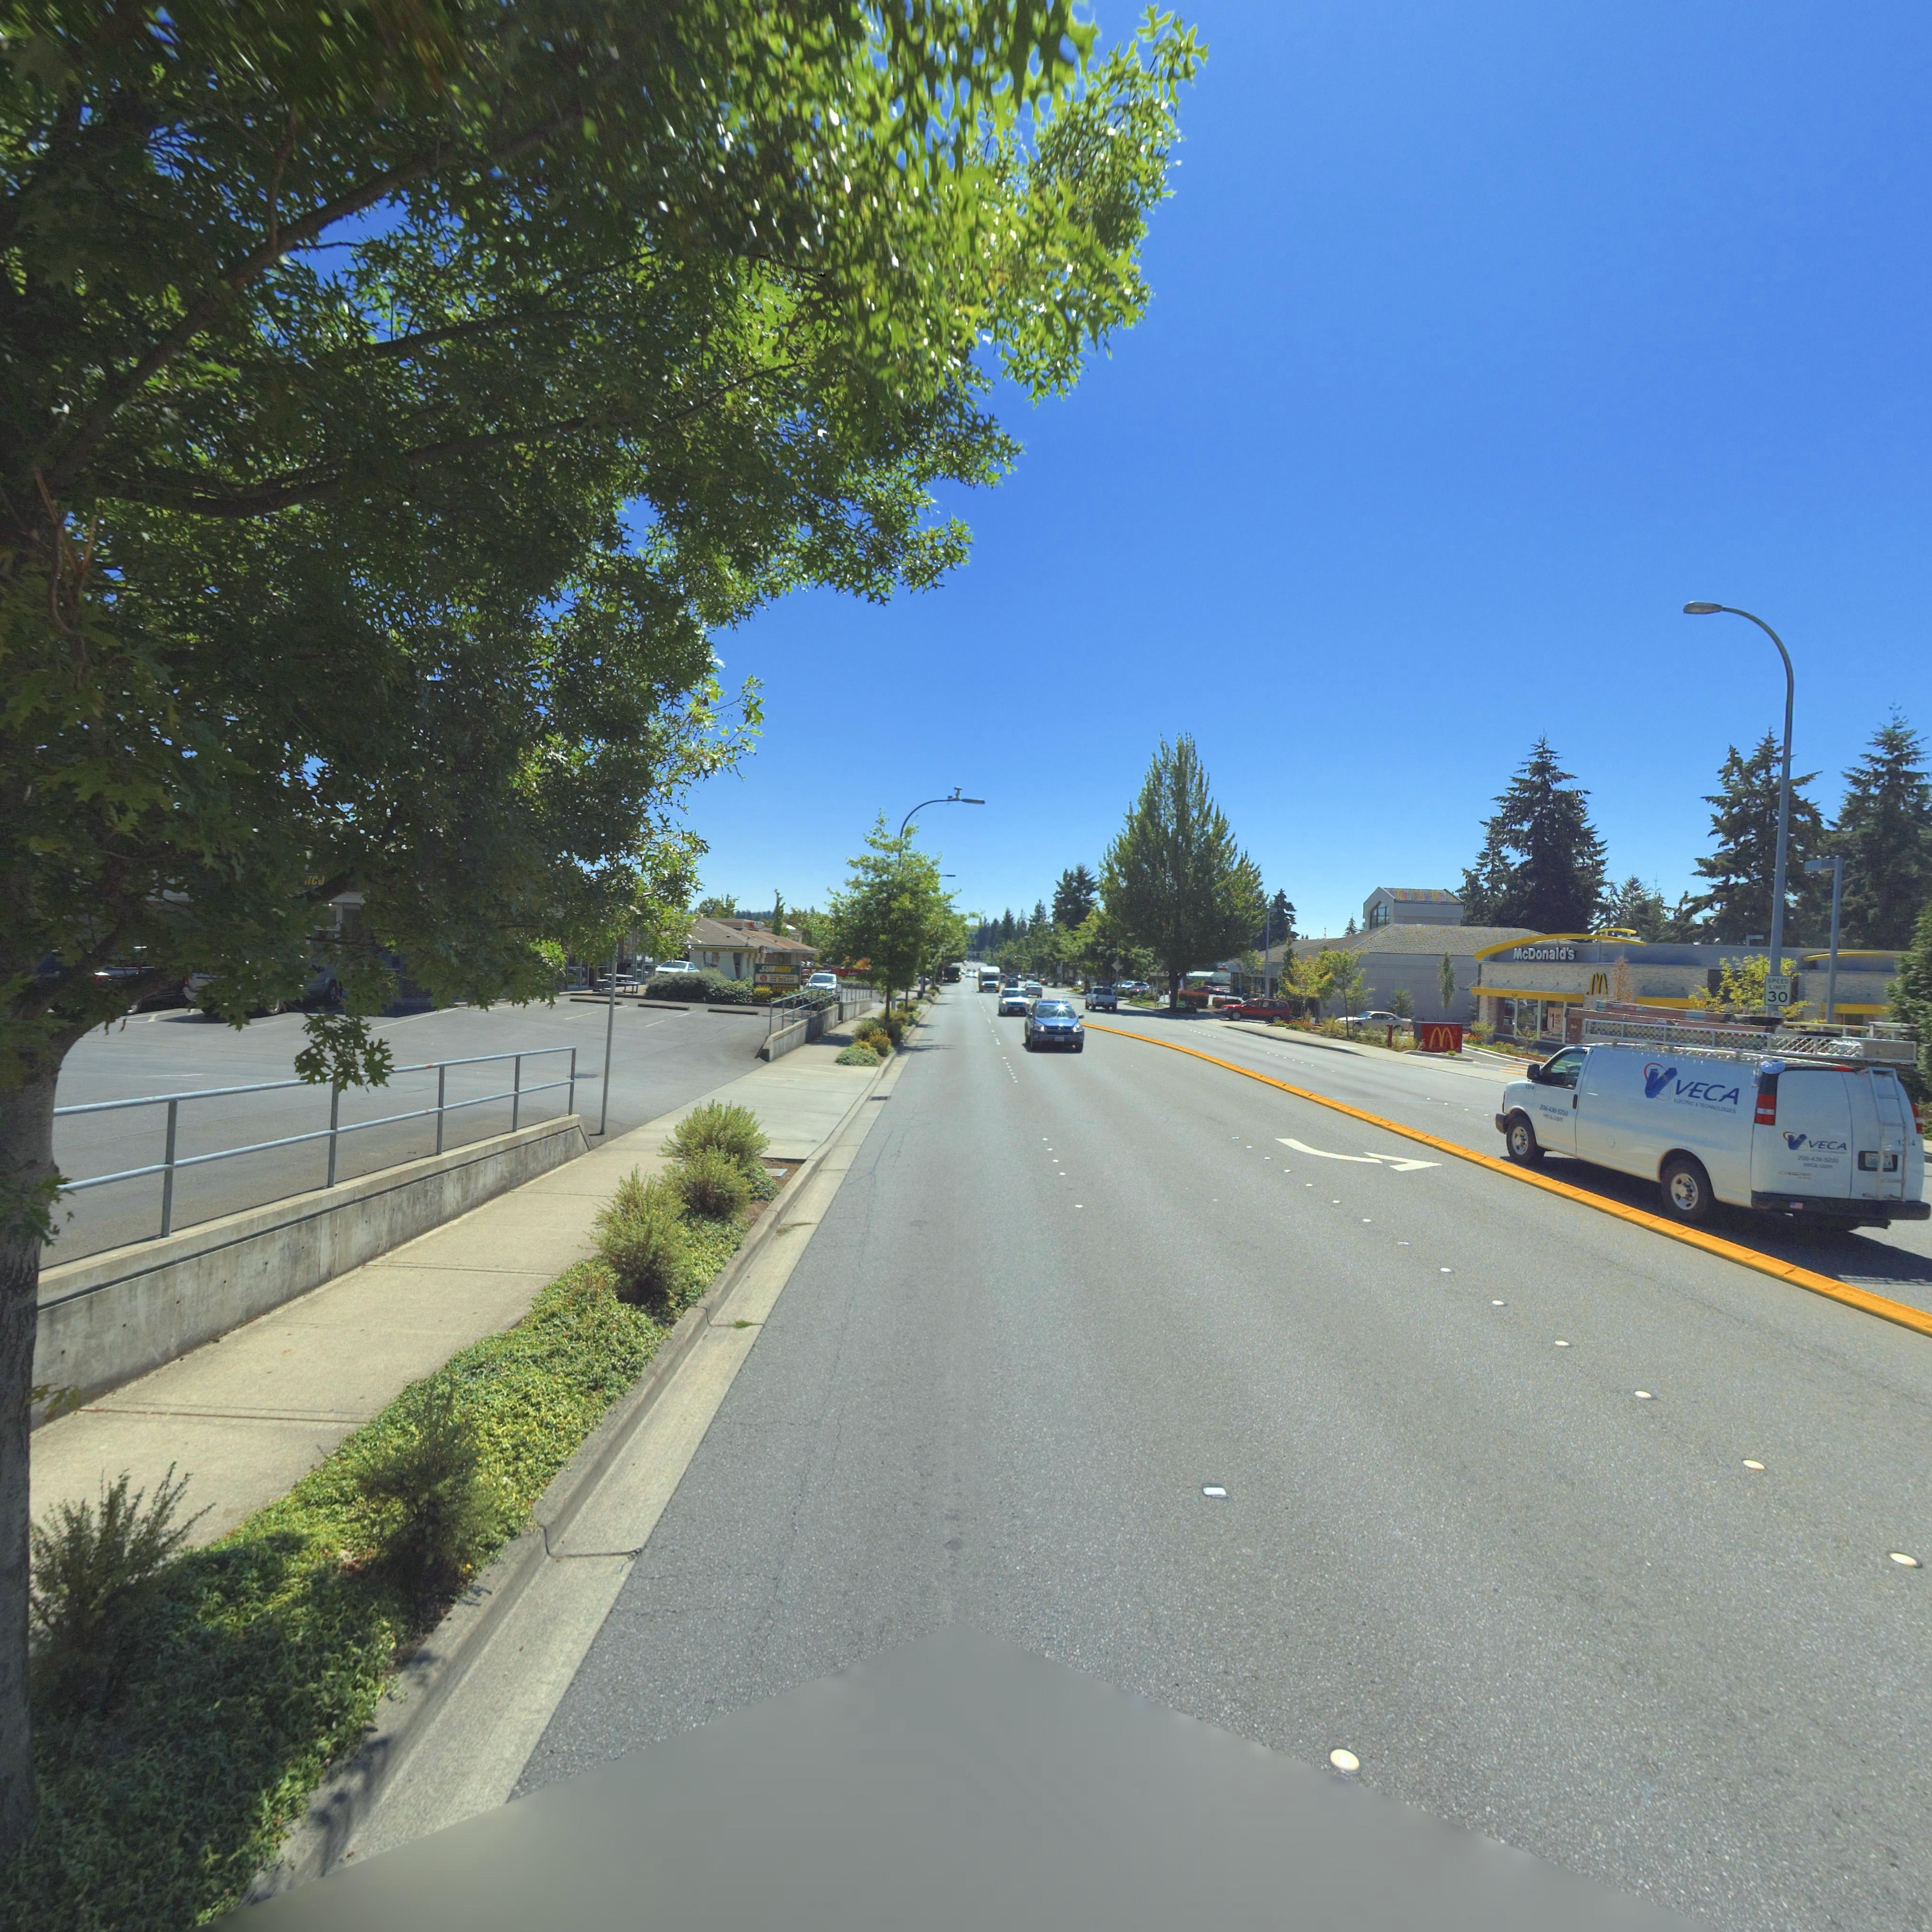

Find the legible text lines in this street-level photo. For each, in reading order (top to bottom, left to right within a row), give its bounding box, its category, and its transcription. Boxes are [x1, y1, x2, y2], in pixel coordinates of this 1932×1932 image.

[1513, 947, 1575, 959] BusinessName: McDonald*s
[758, 965, 796, 973] BusinessName: SUBWAY